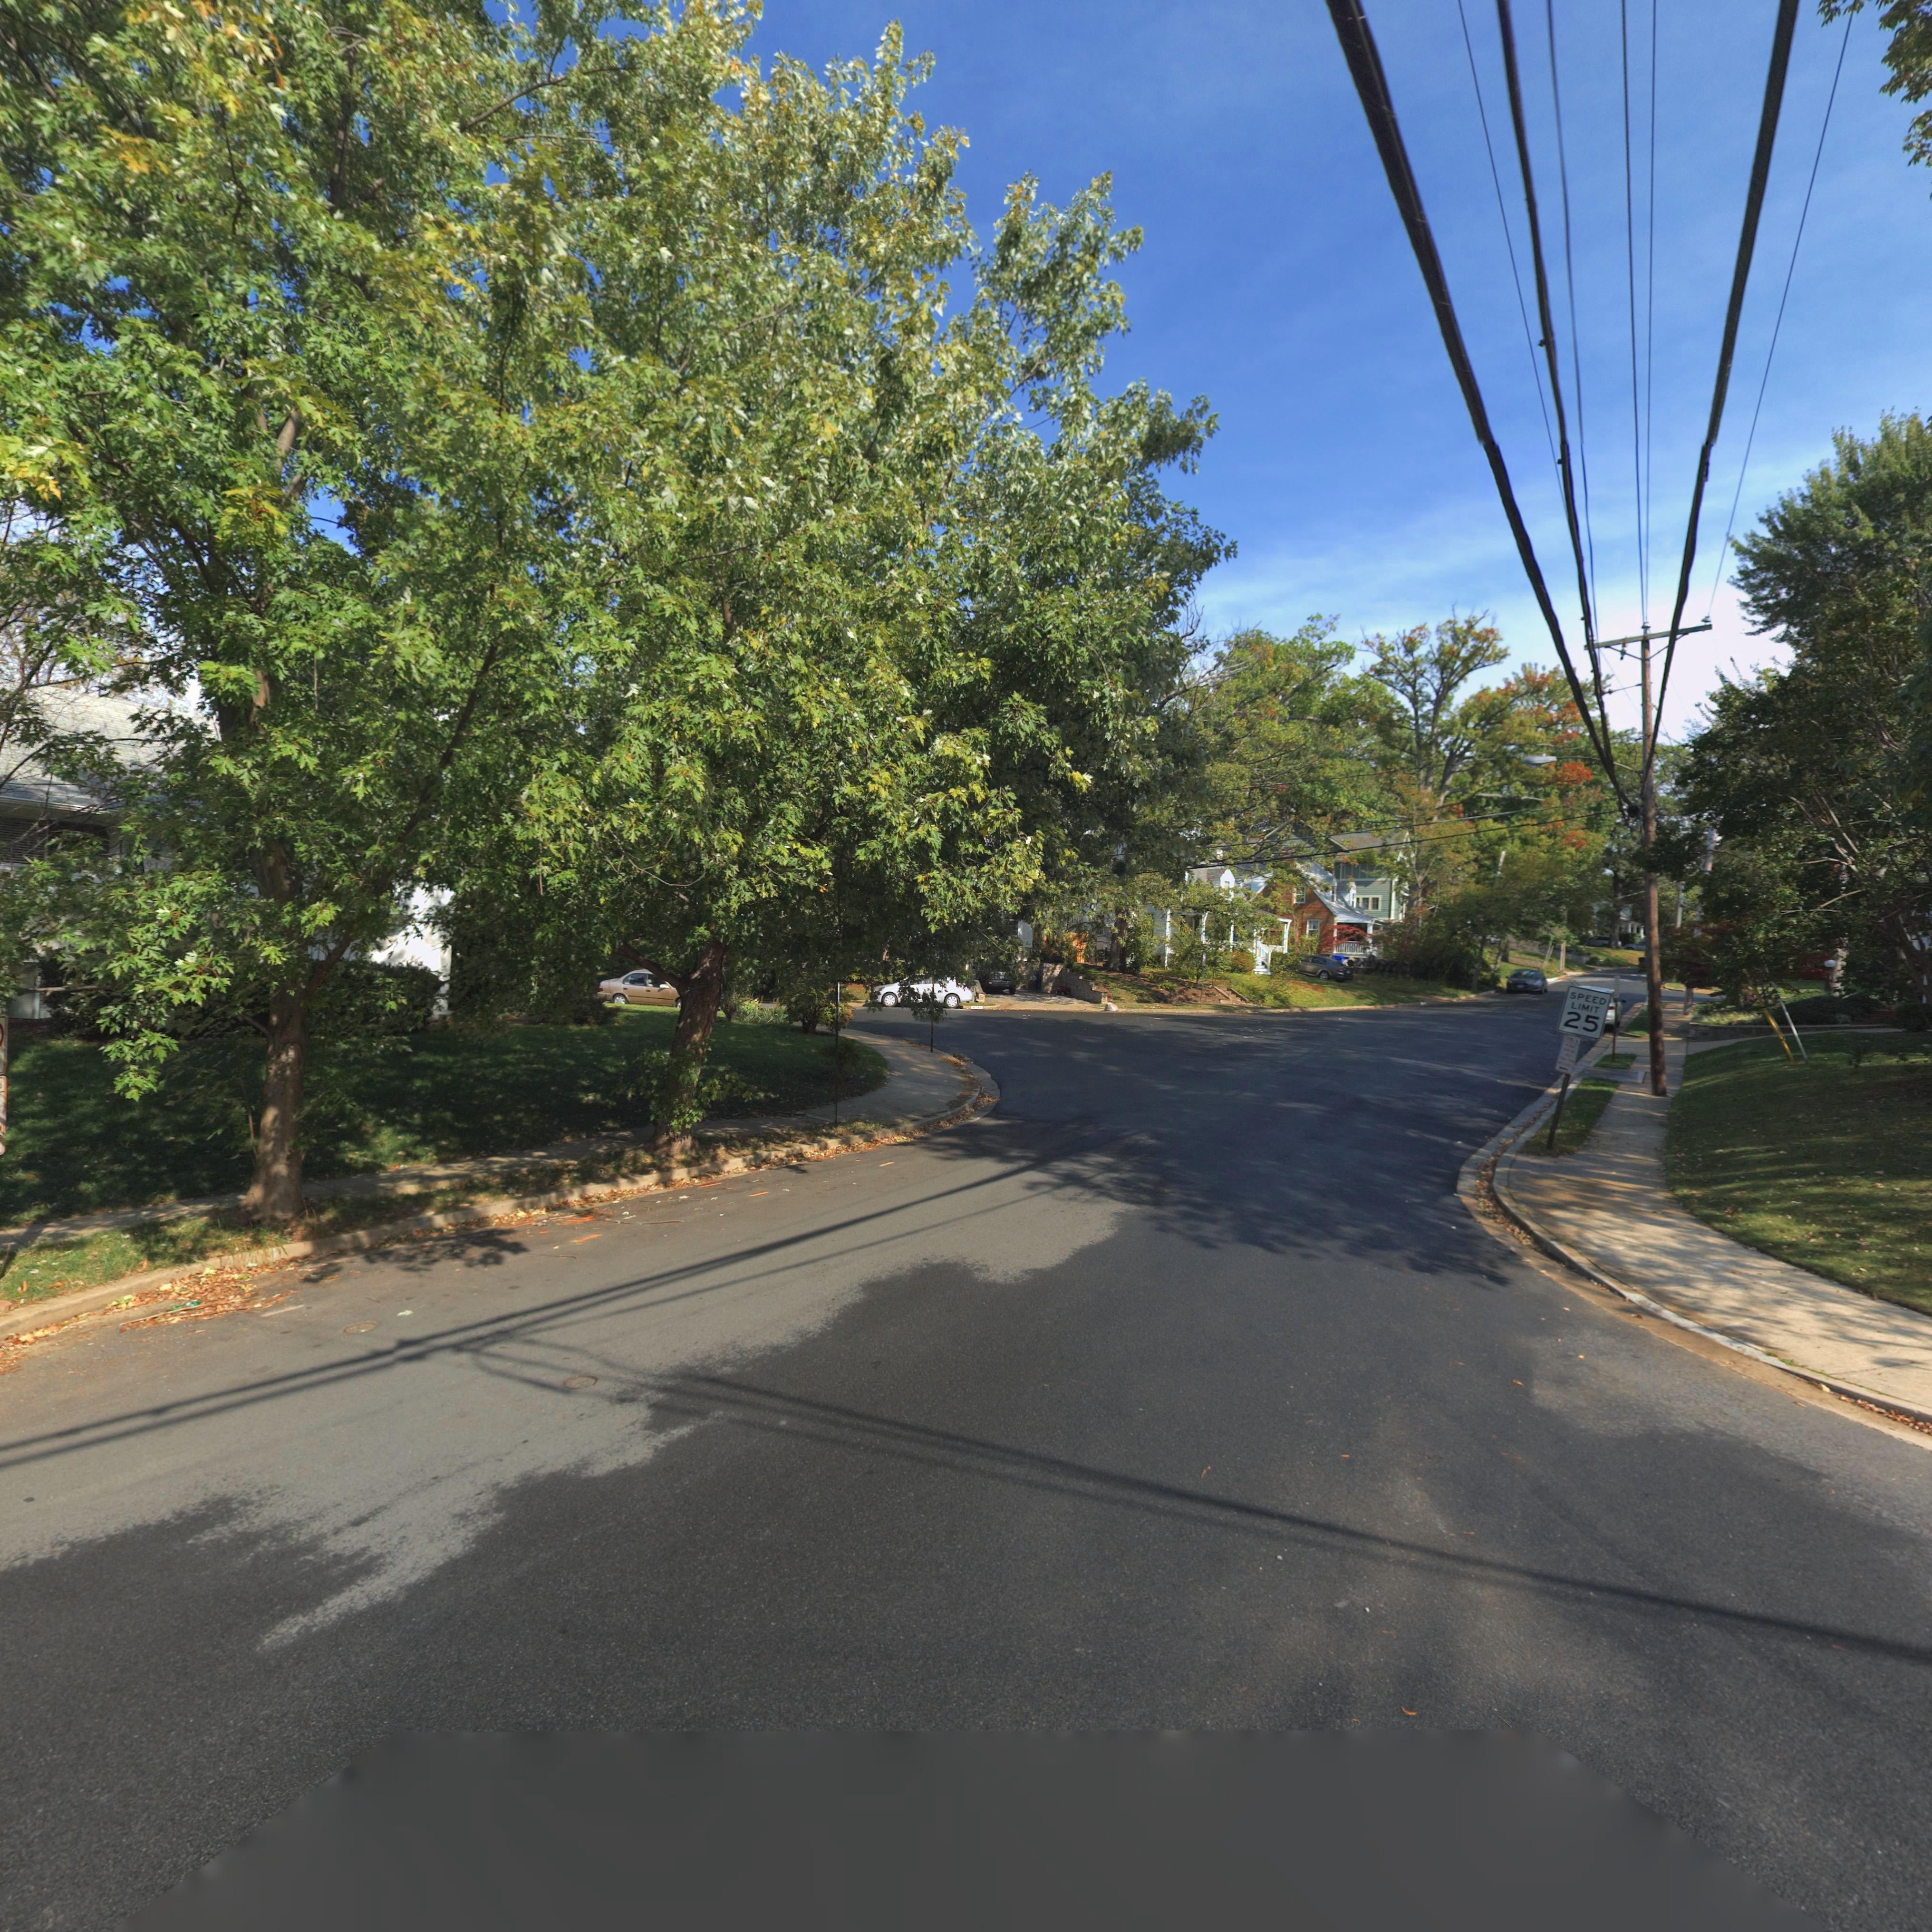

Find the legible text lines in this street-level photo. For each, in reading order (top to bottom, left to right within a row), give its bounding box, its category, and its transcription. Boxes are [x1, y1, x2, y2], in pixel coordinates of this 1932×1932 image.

[1568, 990, 1608, 1006] None: SPEED
[1569, 1000, 1603, 1015] None: LIMIT
[1562, 1009, 1602, 1034] None: 25